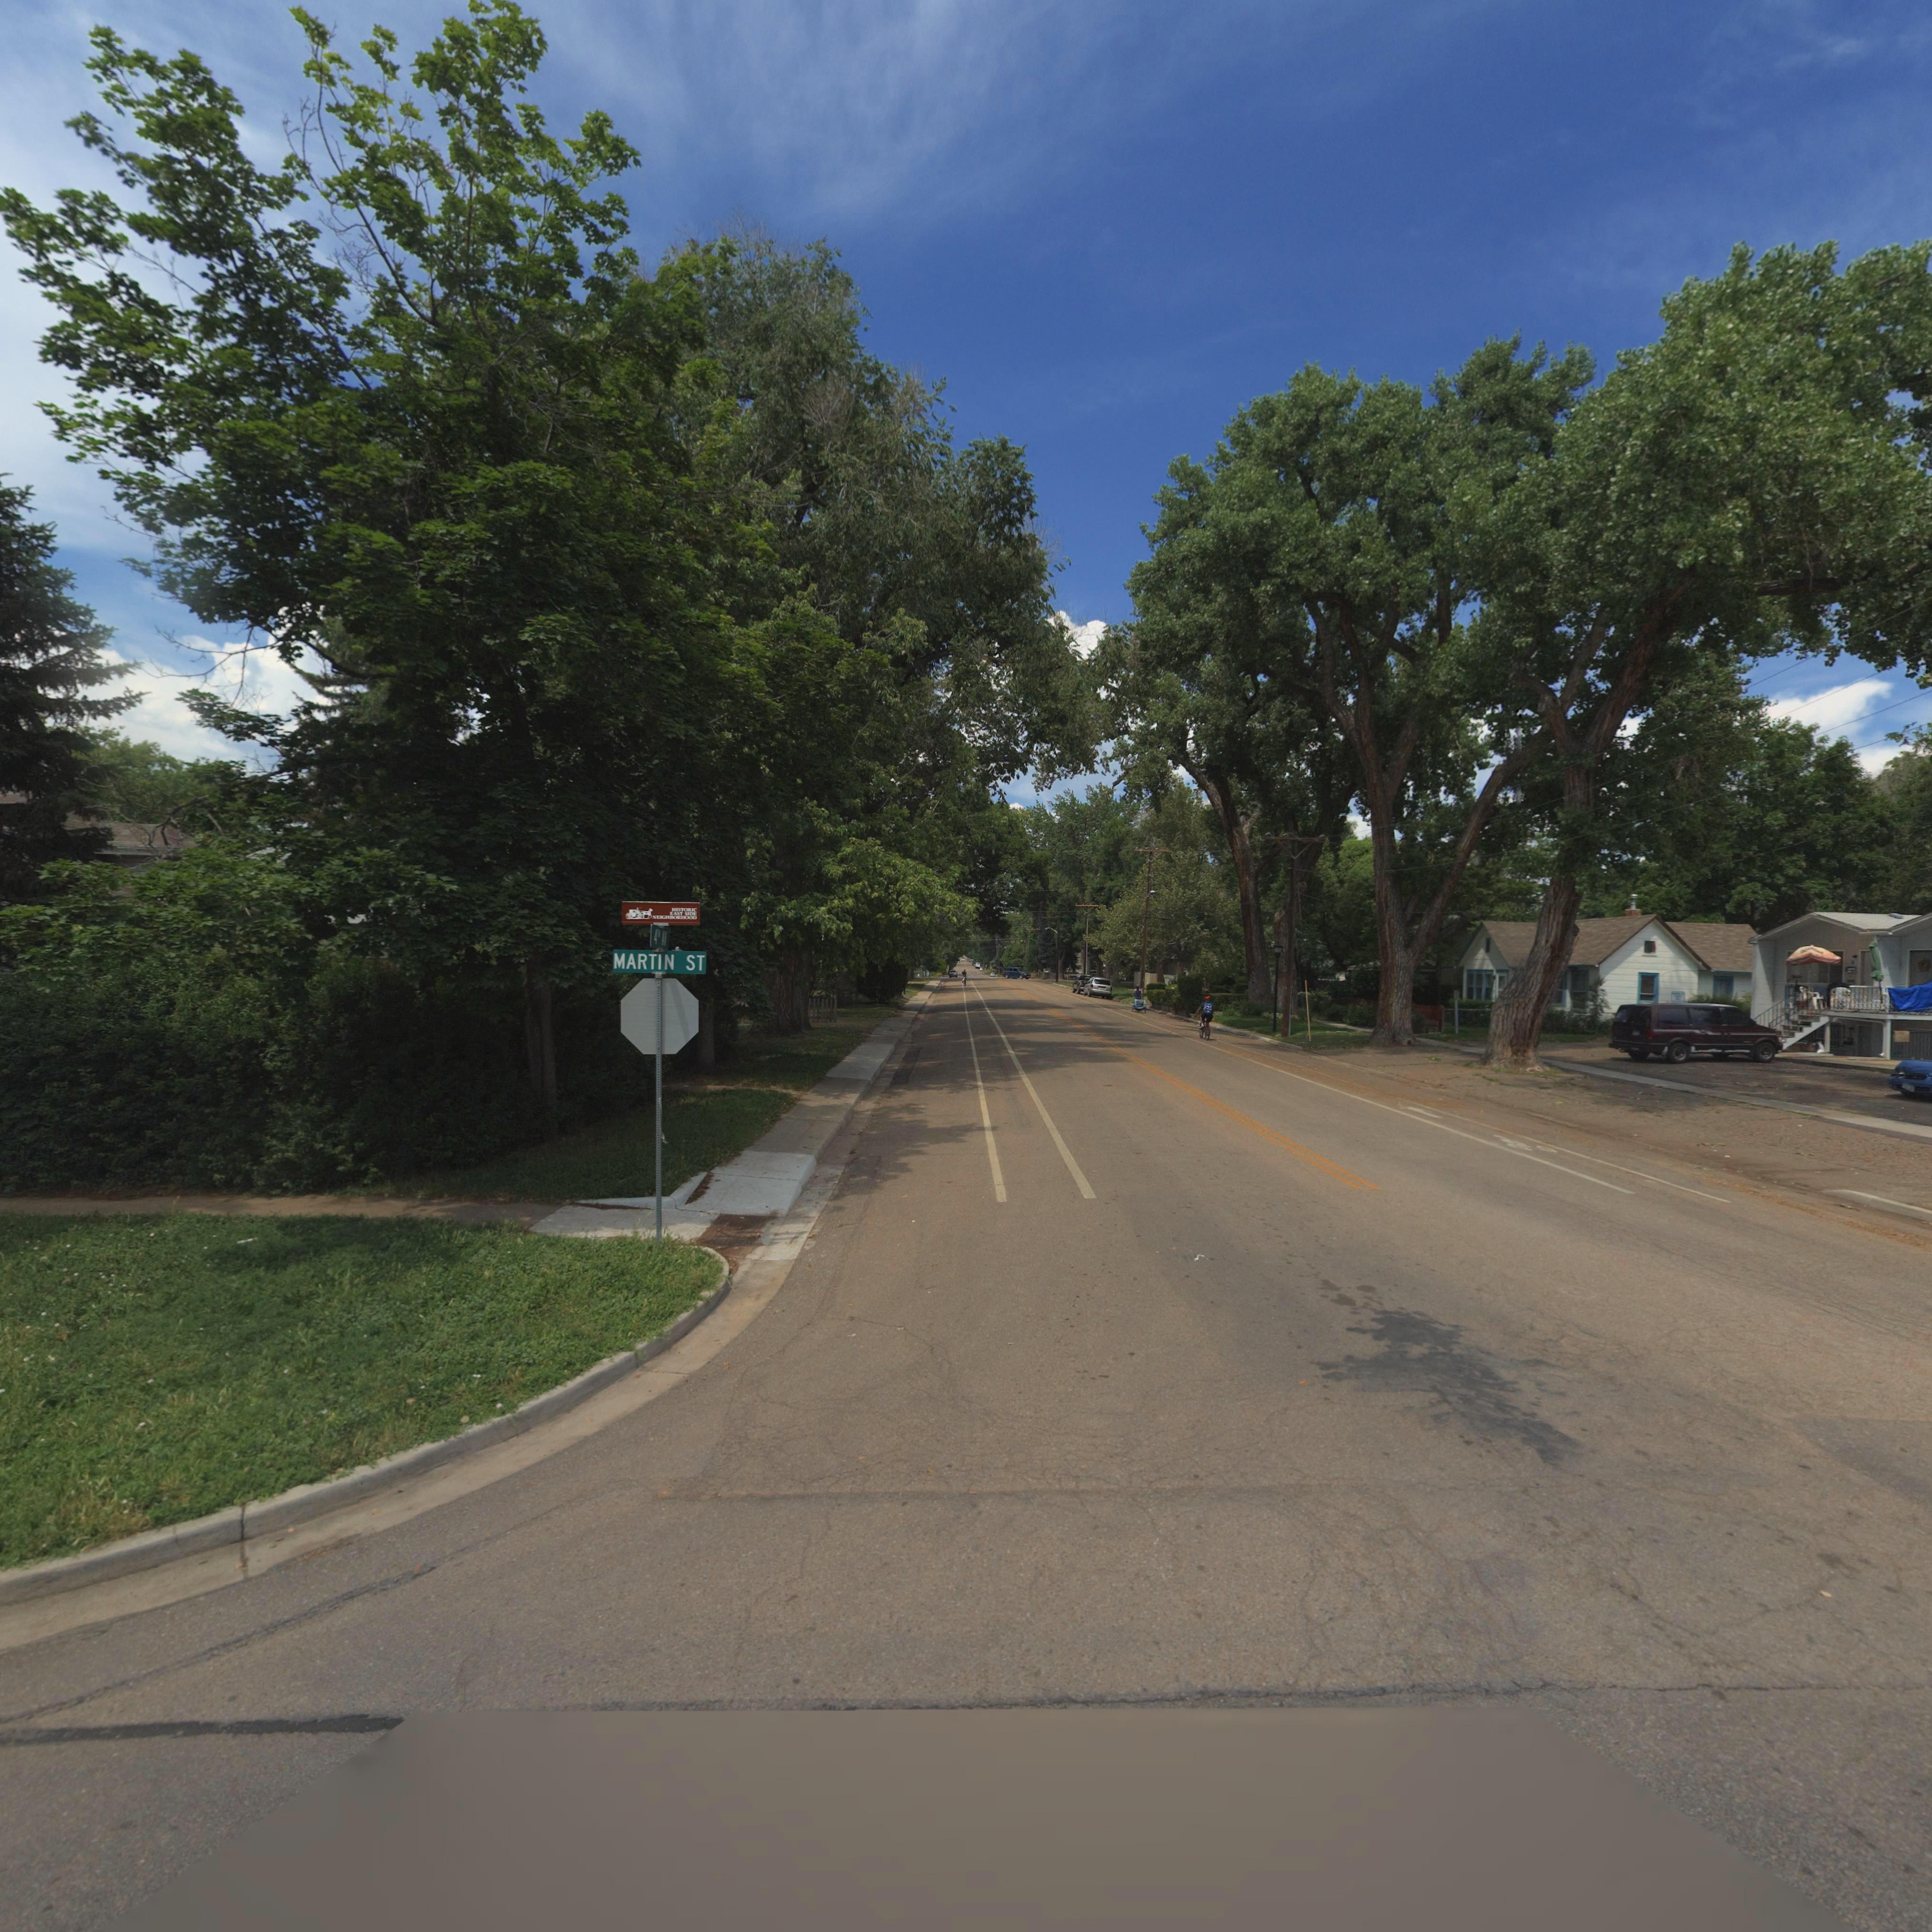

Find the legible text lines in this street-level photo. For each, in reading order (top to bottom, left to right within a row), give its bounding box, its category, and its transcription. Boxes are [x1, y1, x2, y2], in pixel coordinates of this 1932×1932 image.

[653, 928, 667, 946] StreetName: 4** **
[613, 953, 705, 971] StreetName: MARTIN ST